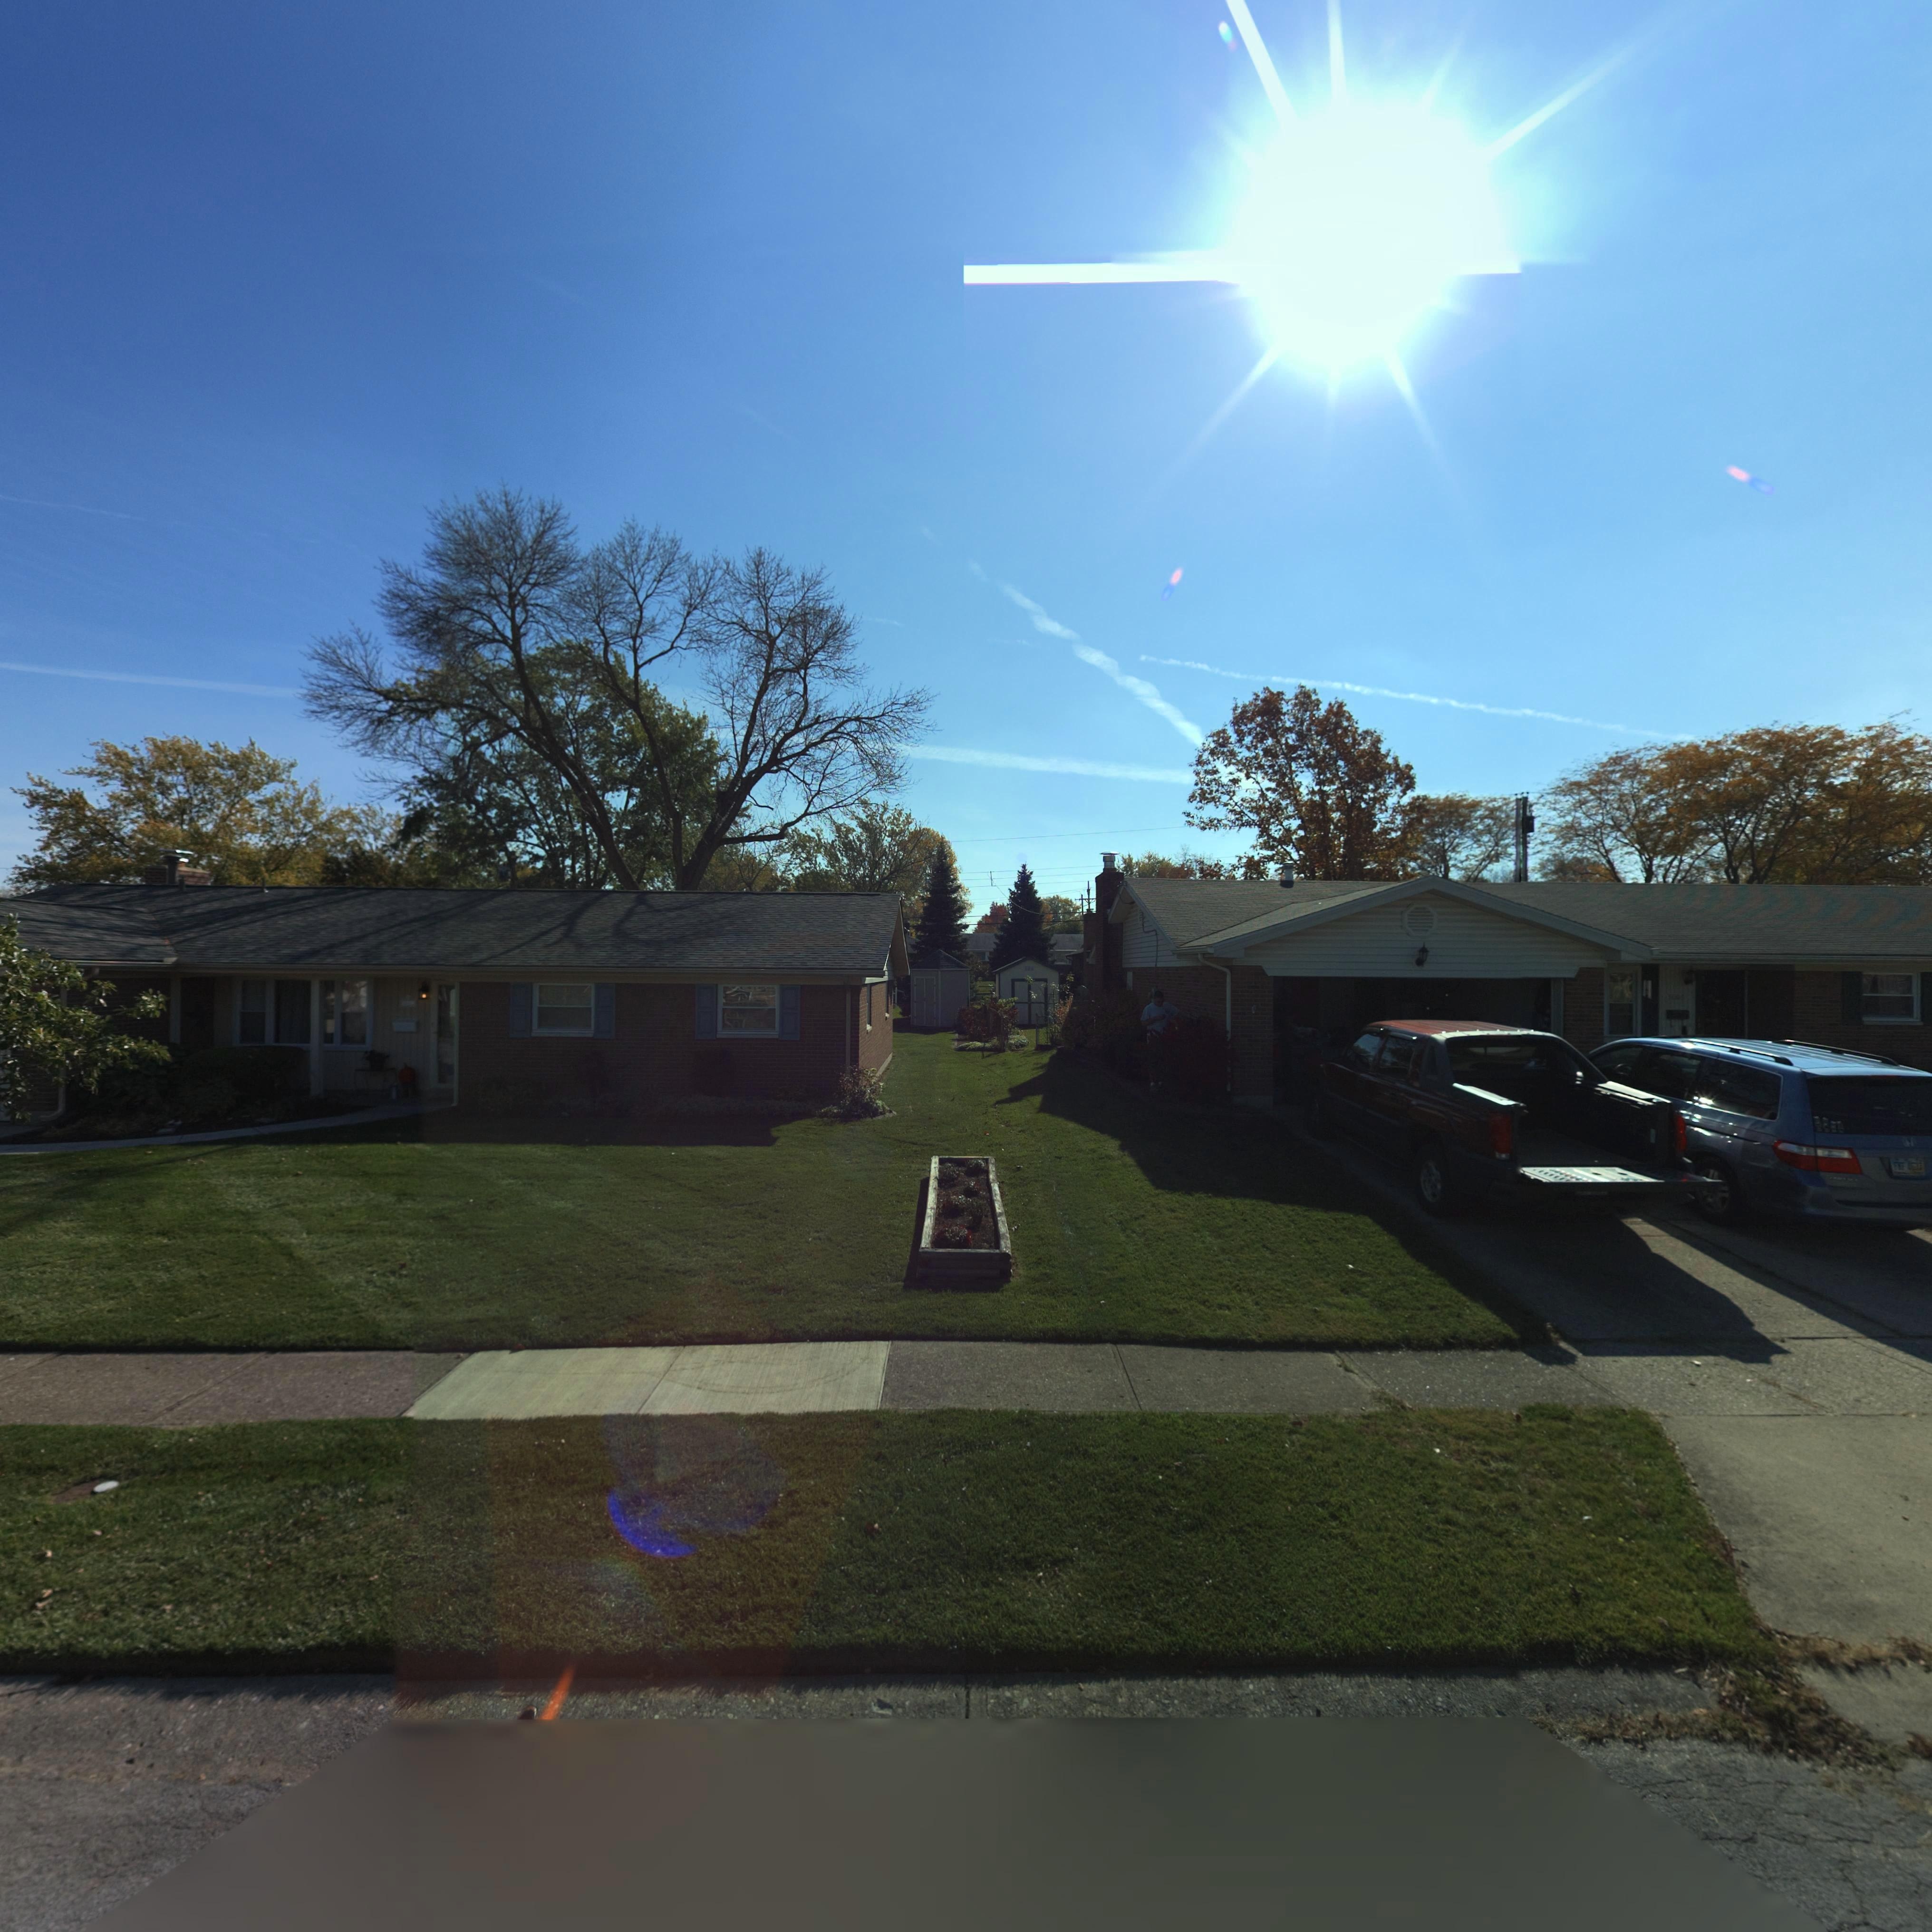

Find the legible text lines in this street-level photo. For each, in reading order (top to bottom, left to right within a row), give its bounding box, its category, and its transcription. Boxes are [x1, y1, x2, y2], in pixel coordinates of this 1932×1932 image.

[1667, 994, 1685, 1000] StreetNumber: 100*